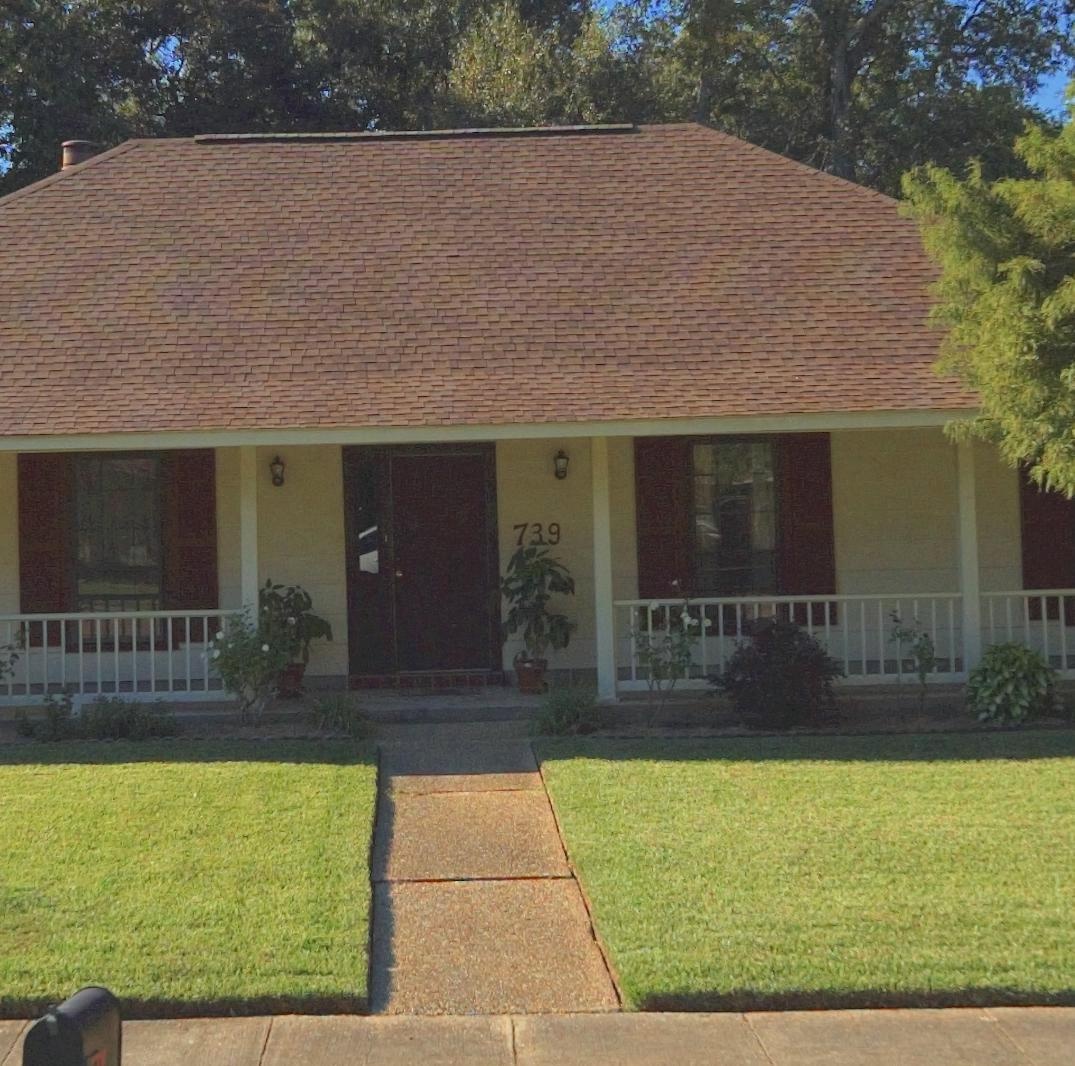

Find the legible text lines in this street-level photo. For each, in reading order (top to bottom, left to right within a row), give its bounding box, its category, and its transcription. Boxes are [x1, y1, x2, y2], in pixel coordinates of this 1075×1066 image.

[510, 519, 563, 548] StreetNumber: 7*9